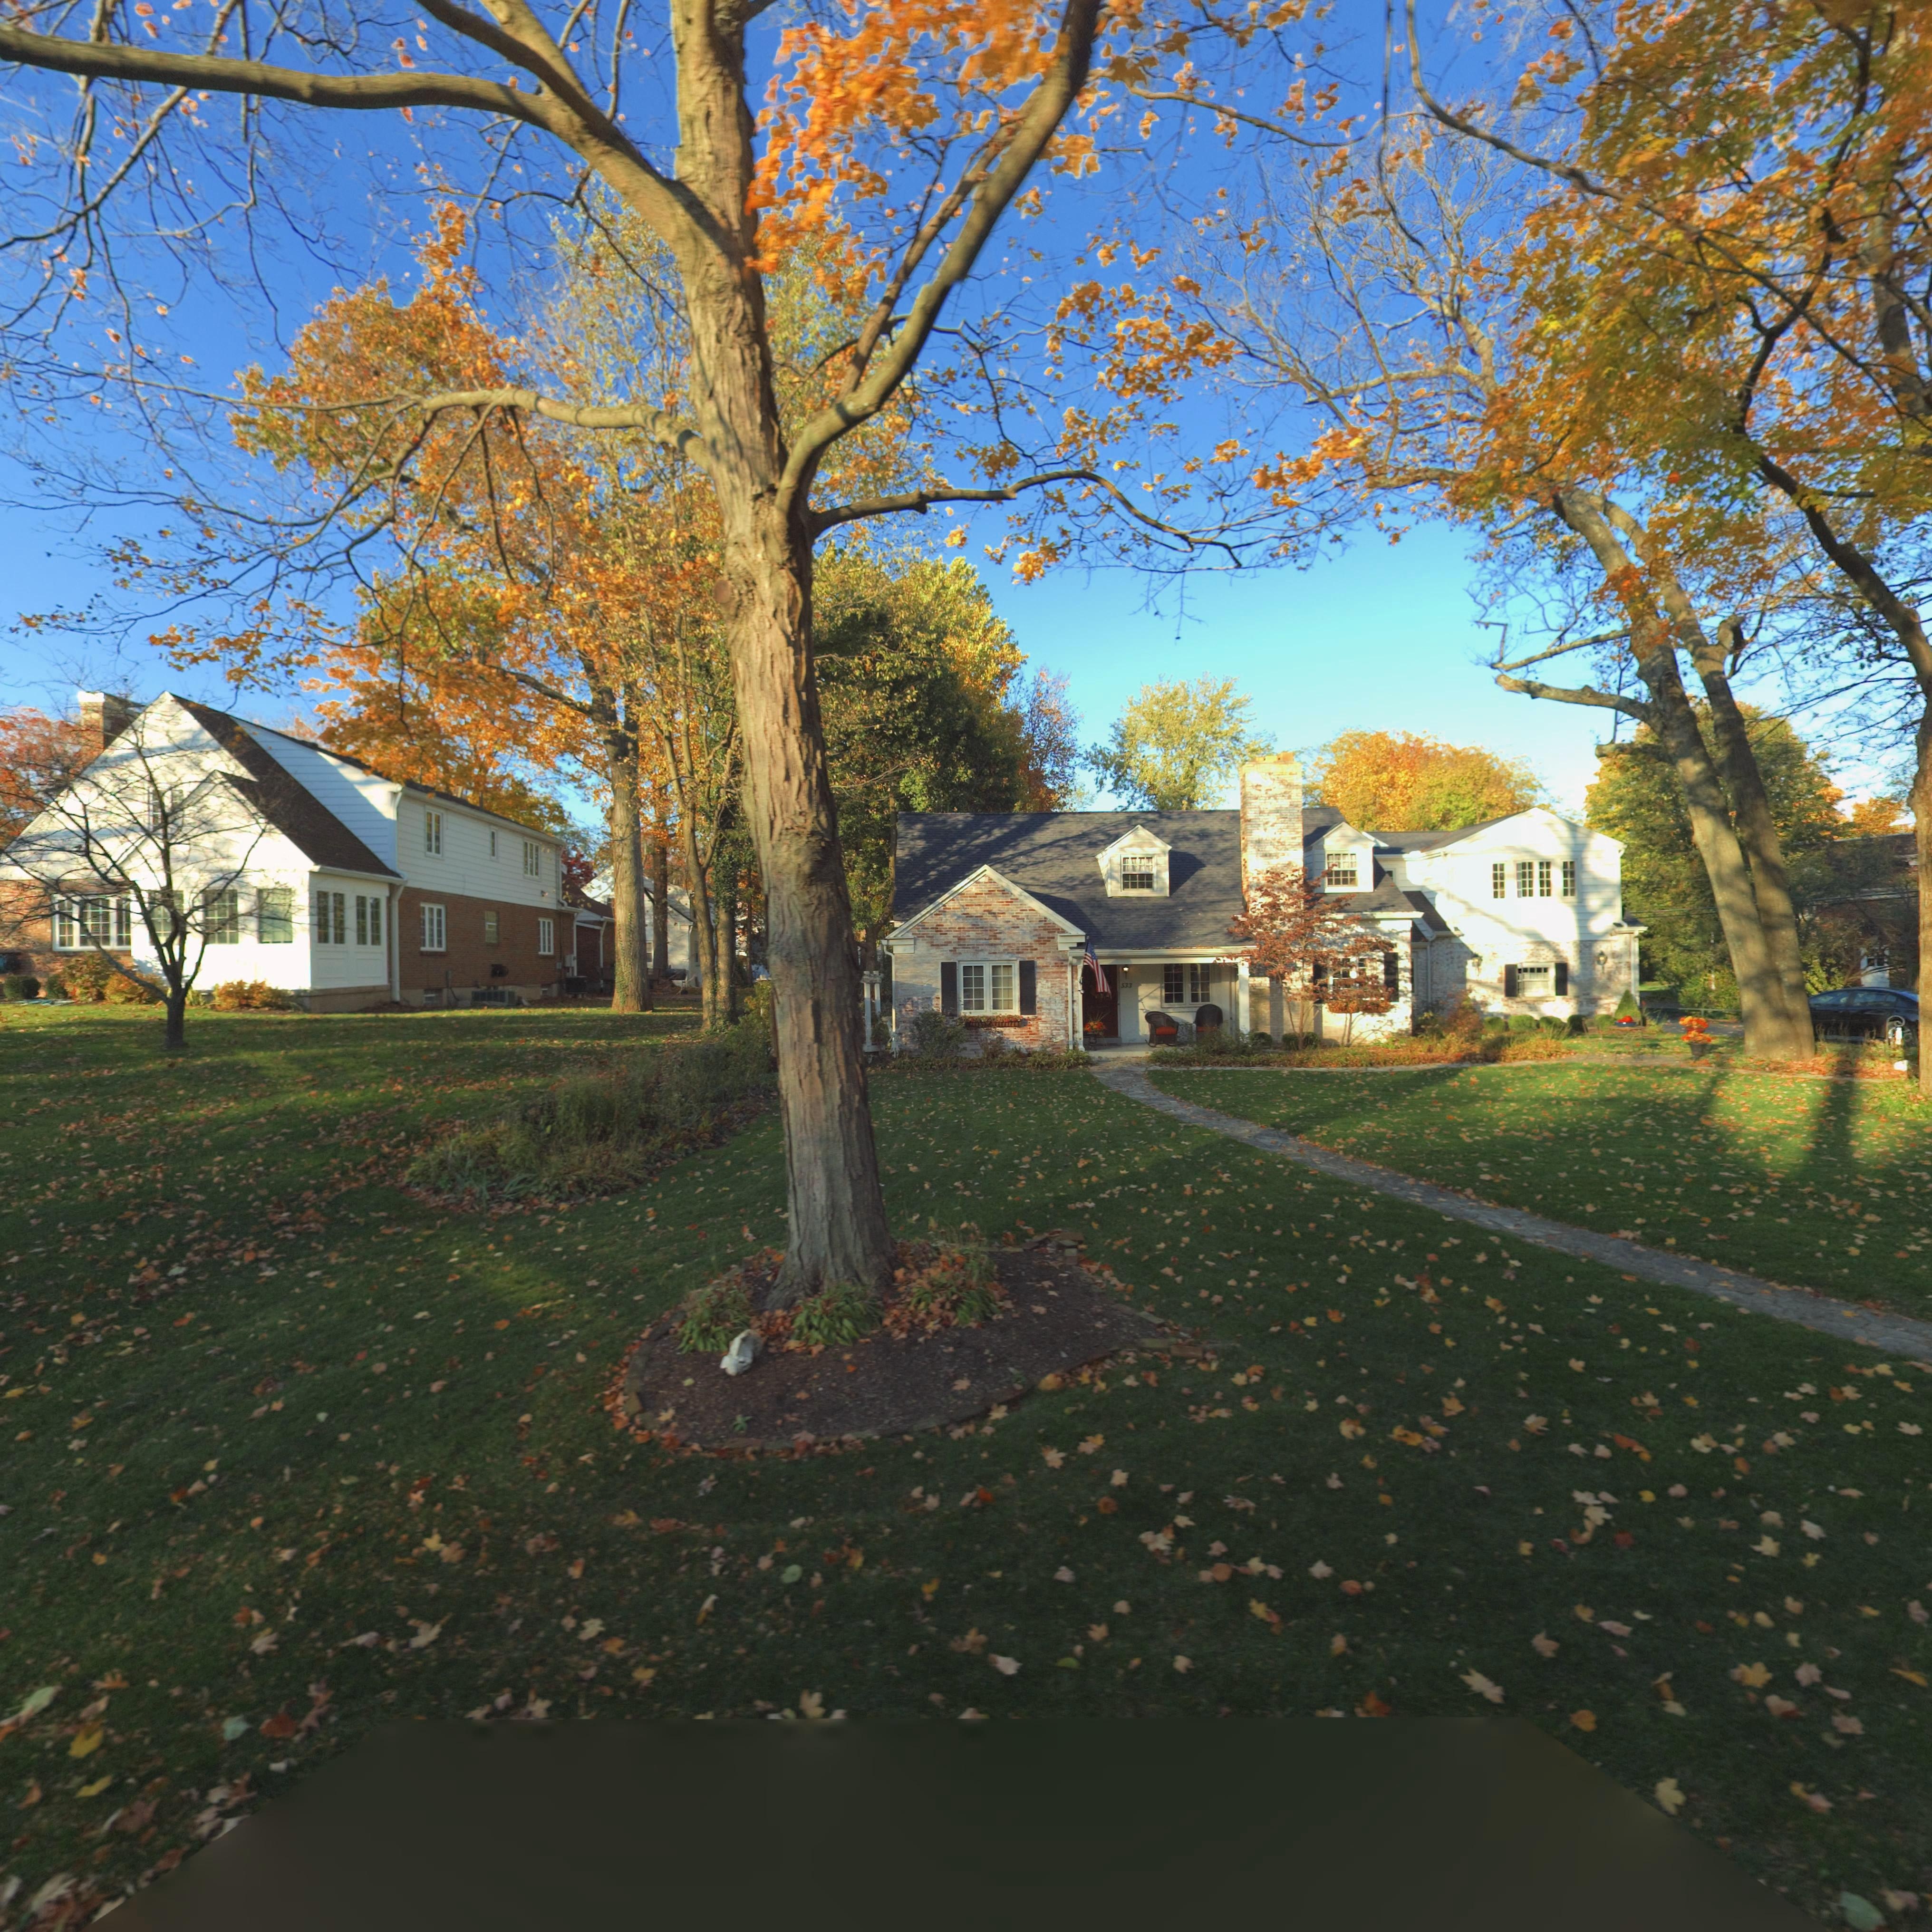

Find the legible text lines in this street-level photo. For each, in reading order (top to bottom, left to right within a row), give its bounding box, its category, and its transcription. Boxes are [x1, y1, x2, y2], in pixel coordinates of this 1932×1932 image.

[1120, 982, 1133, 989] StreetNumber: 533